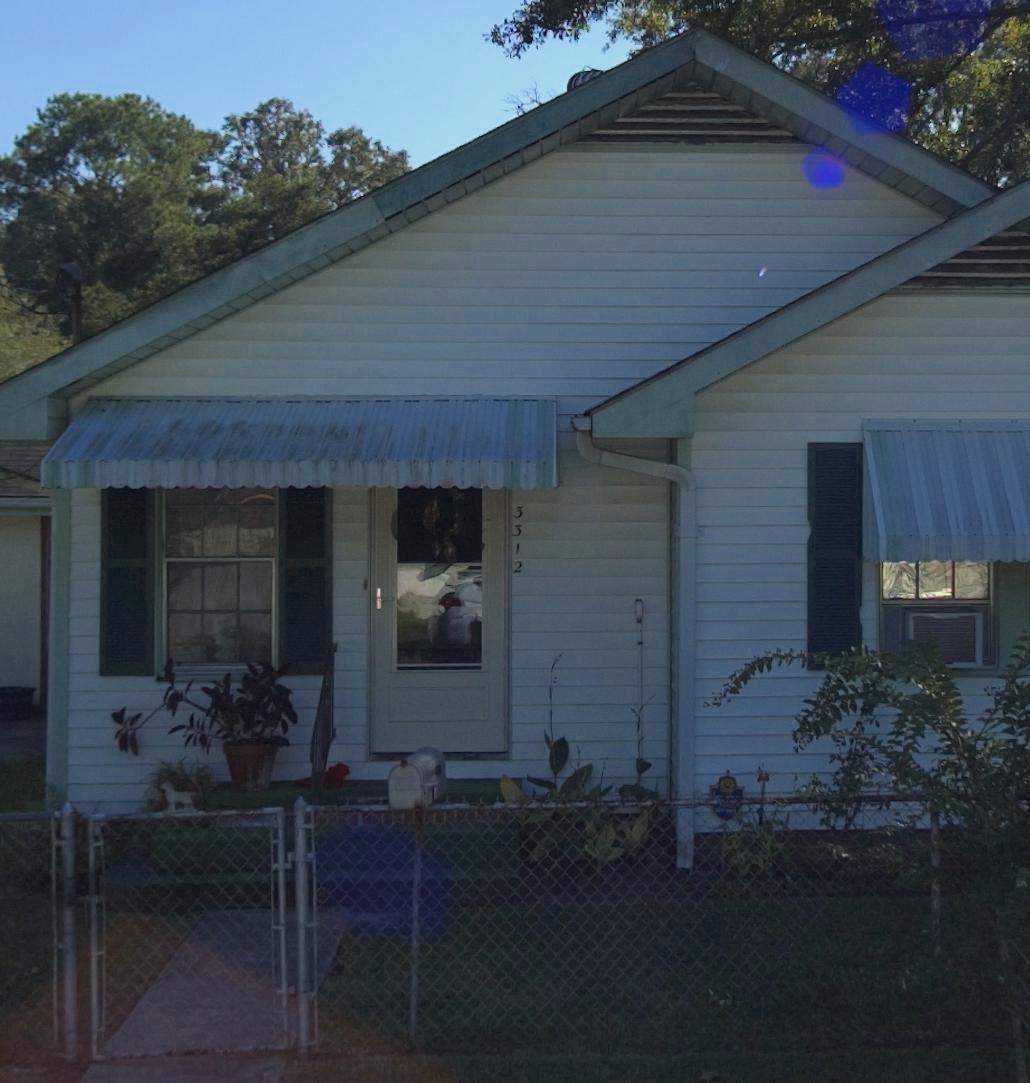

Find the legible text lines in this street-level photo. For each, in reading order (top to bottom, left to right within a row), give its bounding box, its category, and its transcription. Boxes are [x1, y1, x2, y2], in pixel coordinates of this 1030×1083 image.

[511, 505, 526, 575] StreetNumber: 3312